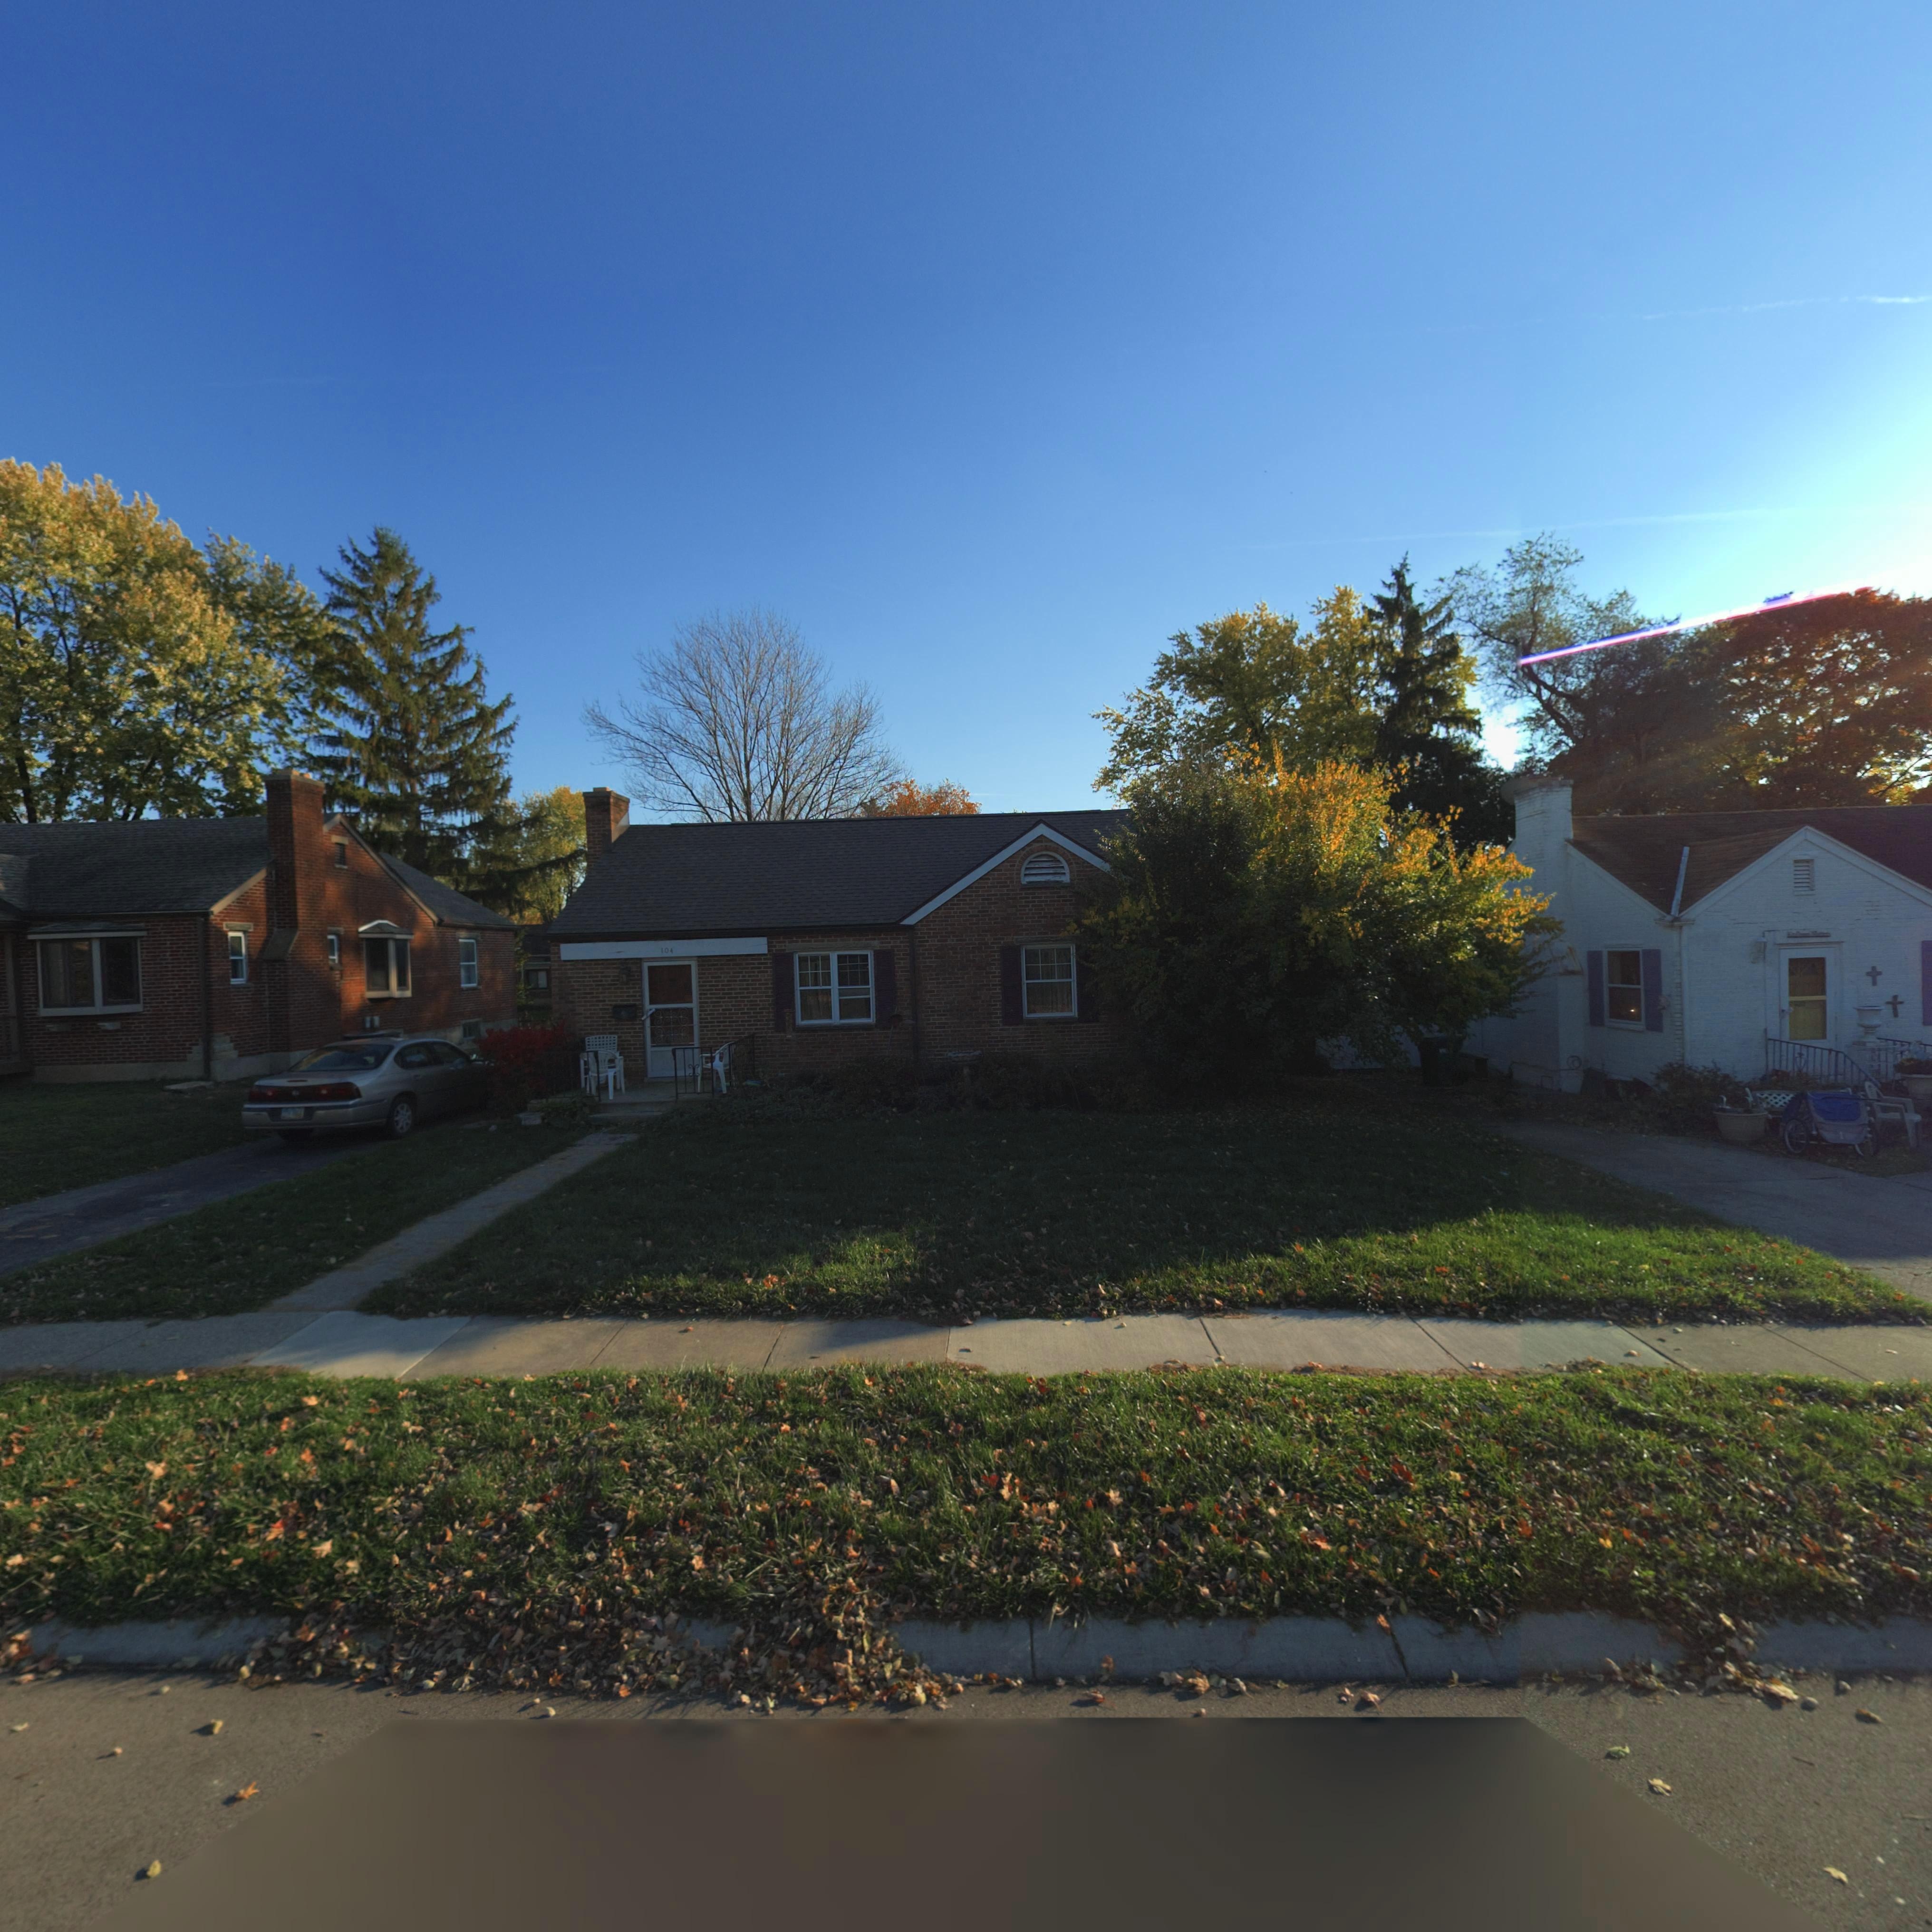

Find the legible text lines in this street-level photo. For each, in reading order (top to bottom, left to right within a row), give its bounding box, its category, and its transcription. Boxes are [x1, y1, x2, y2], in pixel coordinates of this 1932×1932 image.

[660, 947, 675, 955] StreetNumber: 104